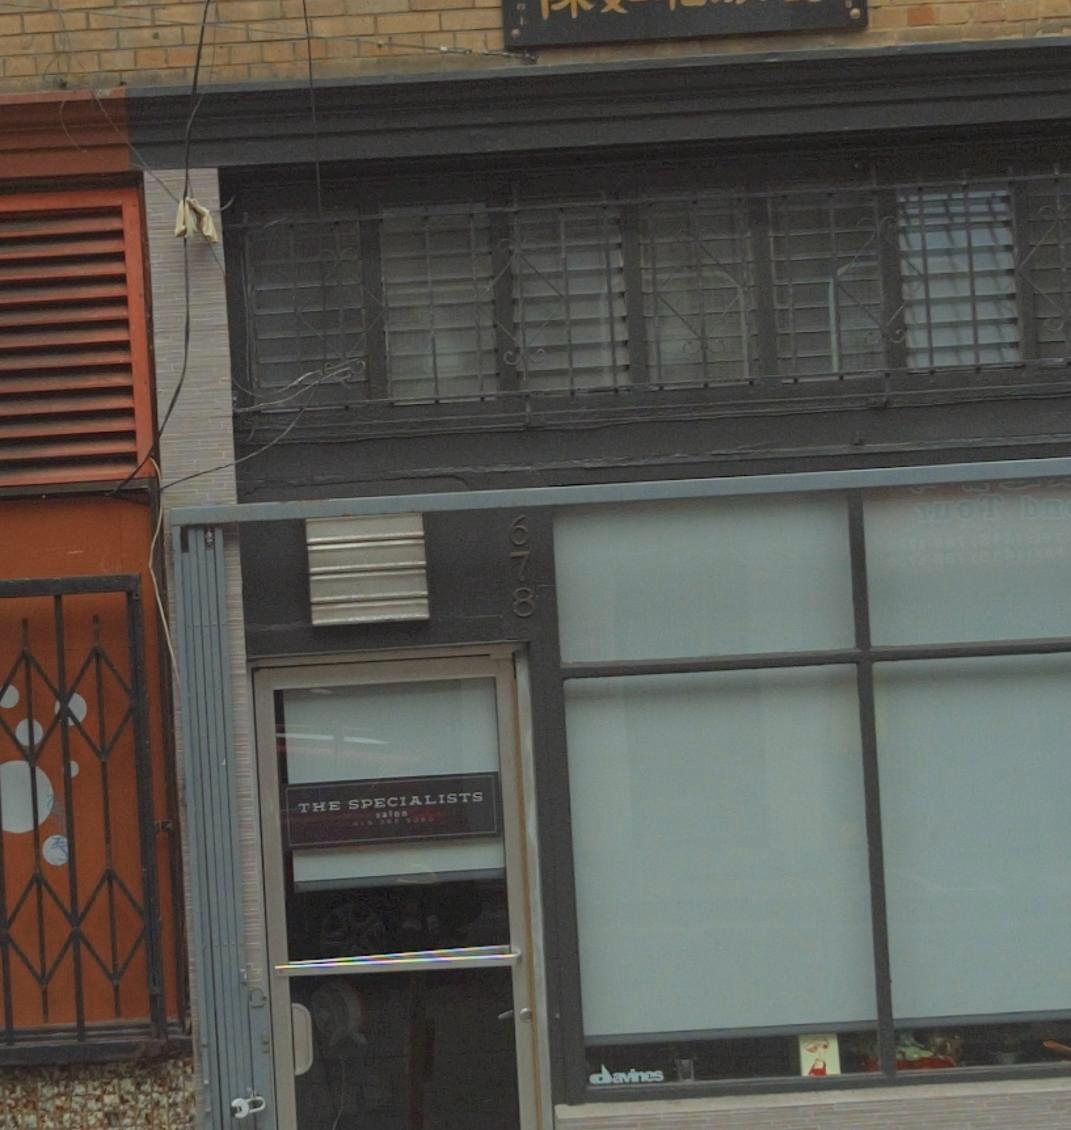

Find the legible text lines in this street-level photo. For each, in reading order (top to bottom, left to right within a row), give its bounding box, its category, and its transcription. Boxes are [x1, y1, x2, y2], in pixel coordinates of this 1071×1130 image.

[503, 497, 542, 624] StreetNumber: 678
[295, 787, 487, 819] BusinessName: THE SPECIALISTS
[586, 1060, 668, 1087] None: davines